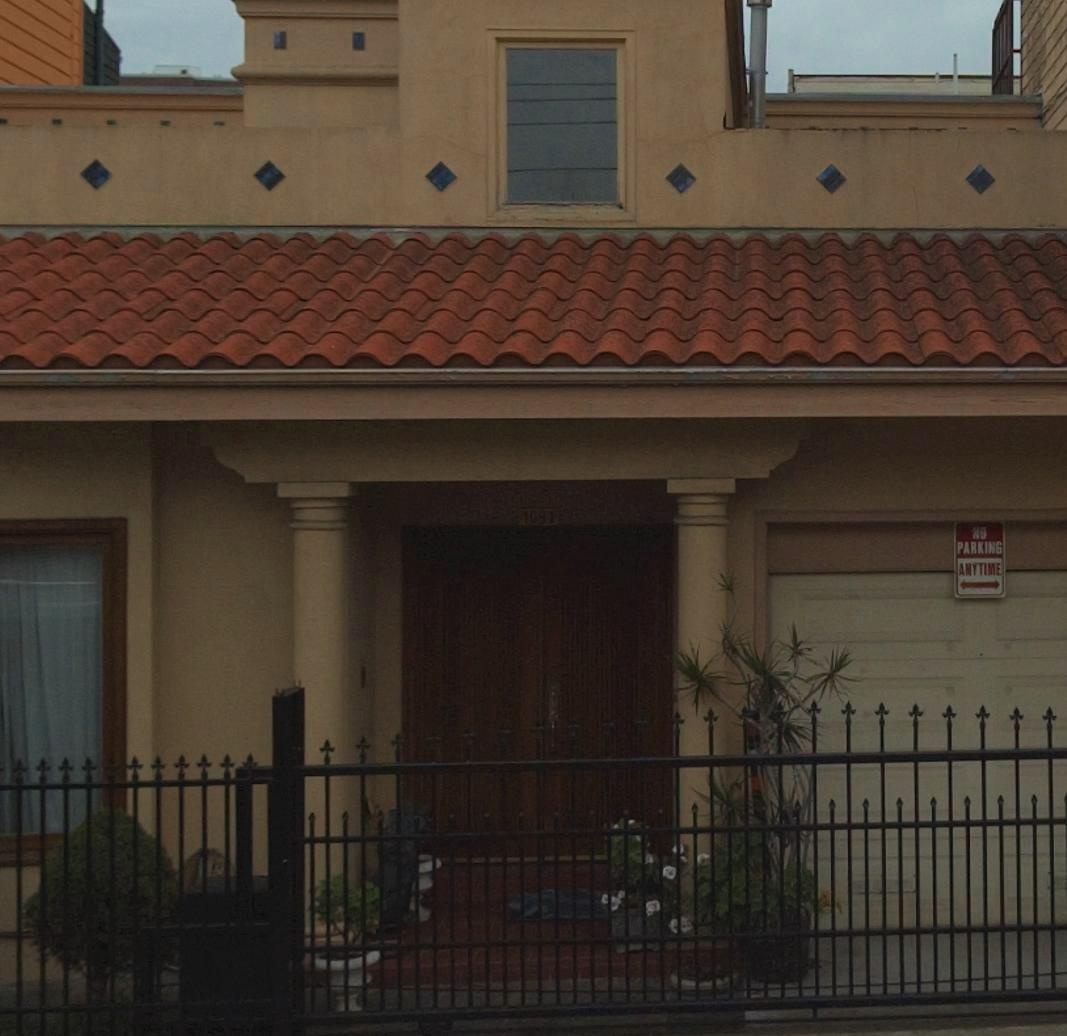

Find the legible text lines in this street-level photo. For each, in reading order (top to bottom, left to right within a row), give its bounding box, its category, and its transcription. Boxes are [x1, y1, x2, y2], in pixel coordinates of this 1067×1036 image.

[522, 508, 556, 525] StreetNumber: 1091
[971, 525, 989, 541] None: NO
[956, 540, 1003, 556] None: PARKING
[957, 560, 1002, 578] None: ANYTIME